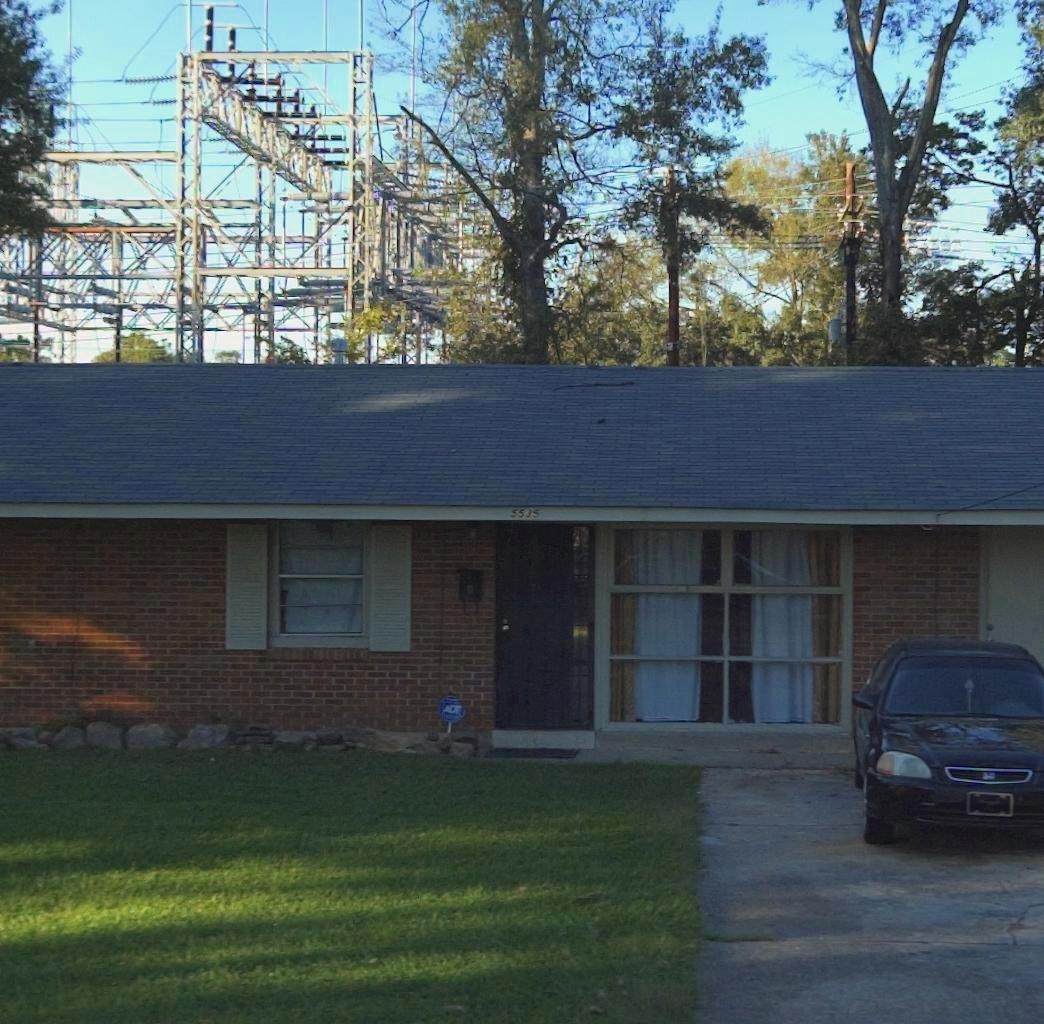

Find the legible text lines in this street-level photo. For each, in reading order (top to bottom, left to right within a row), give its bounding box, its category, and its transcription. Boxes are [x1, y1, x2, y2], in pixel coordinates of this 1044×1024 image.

[510, 507, 541, 519] StreetNumber: 5535
[442, 704, 463, 714] None: ADT